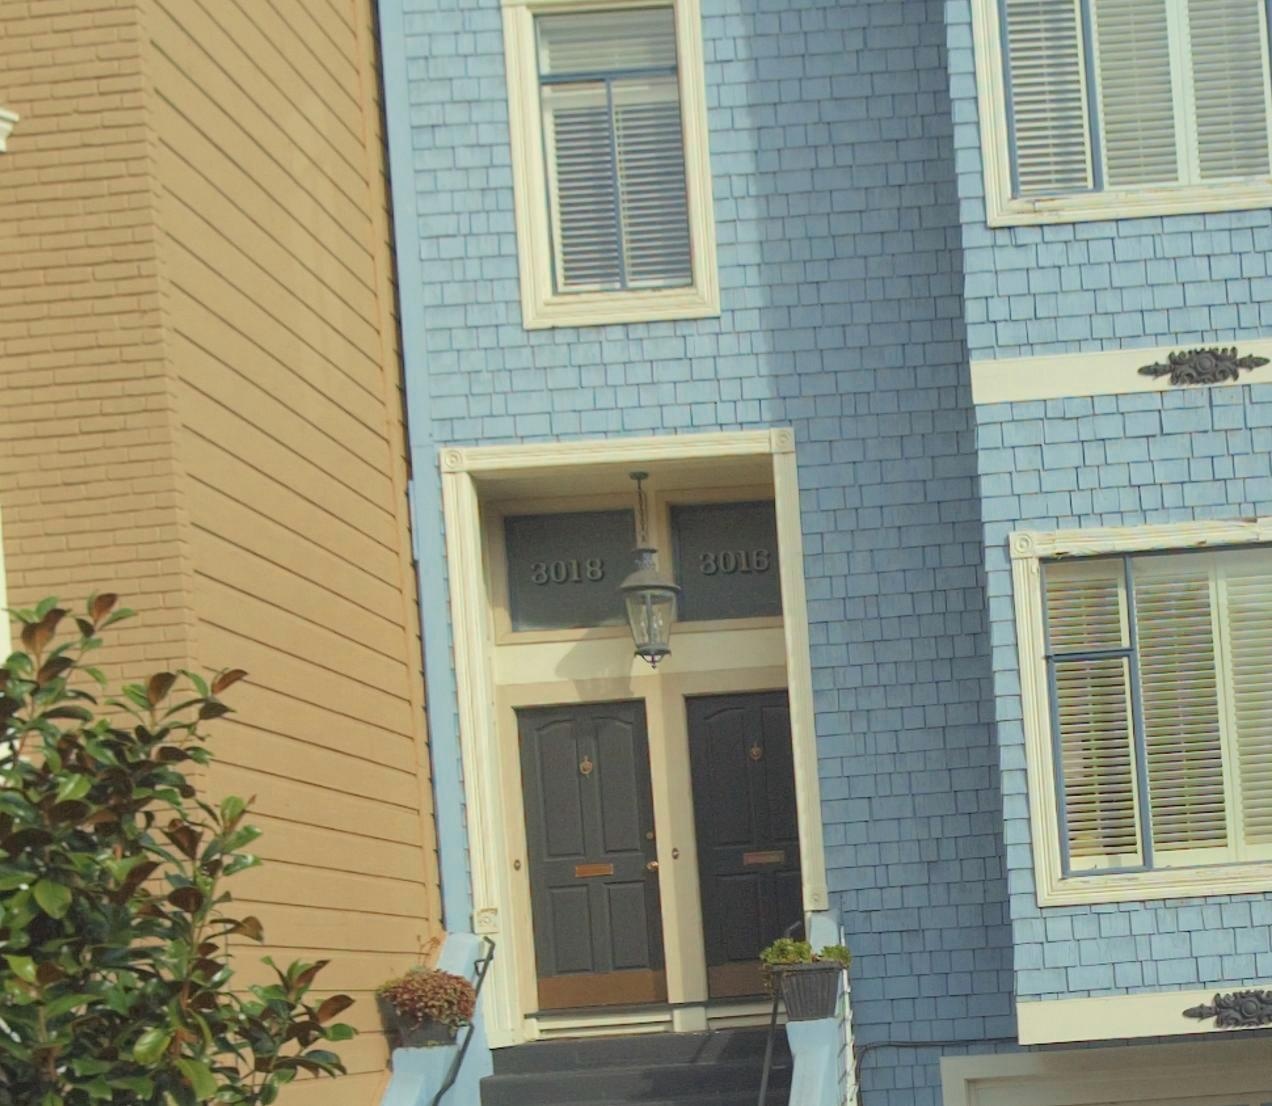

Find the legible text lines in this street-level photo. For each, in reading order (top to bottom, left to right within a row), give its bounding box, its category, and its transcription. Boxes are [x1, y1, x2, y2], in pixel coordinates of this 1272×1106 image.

[528, 555, 605, 588] StreetNumber: 3018
[697, 546, 773, 578] StreetNumber: 3016